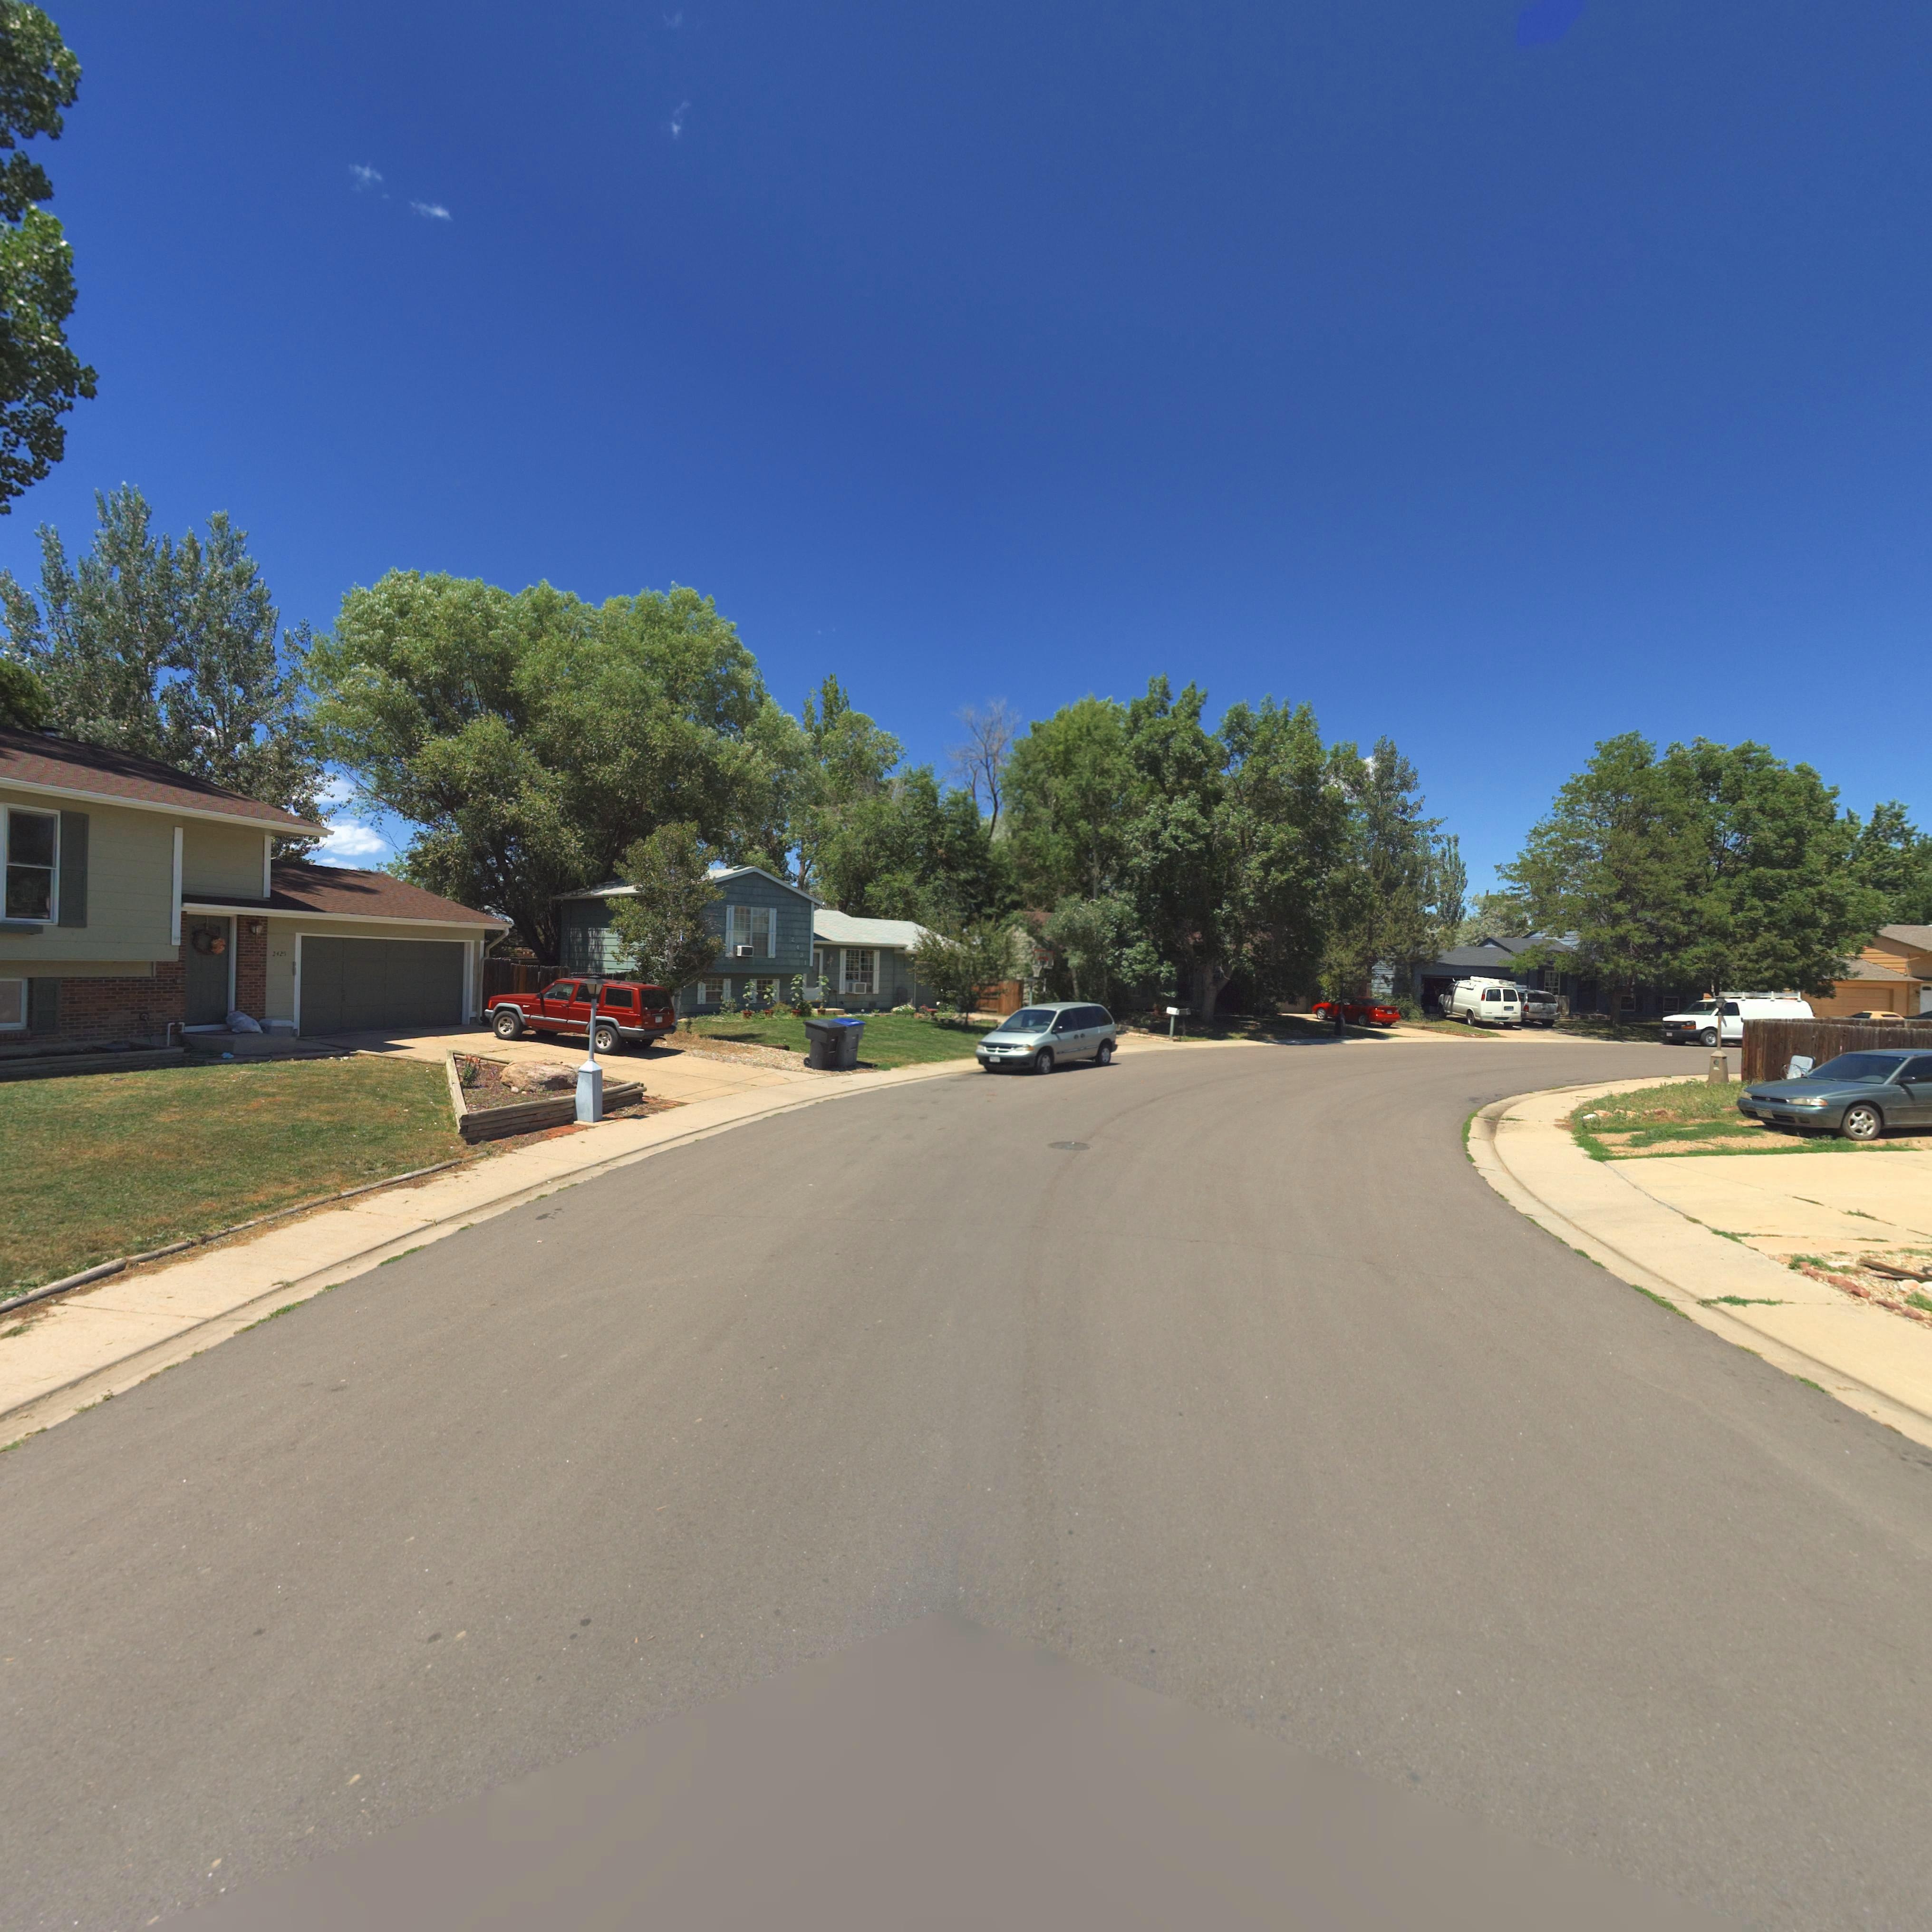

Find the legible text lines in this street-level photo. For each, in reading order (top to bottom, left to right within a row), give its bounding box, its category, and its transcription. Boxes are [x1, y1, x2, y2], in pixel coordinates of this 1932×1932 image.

[271, 950, 286, 956] StreetNumber: 242*
[789, 935, 808, 966] StreetNumber: 2431